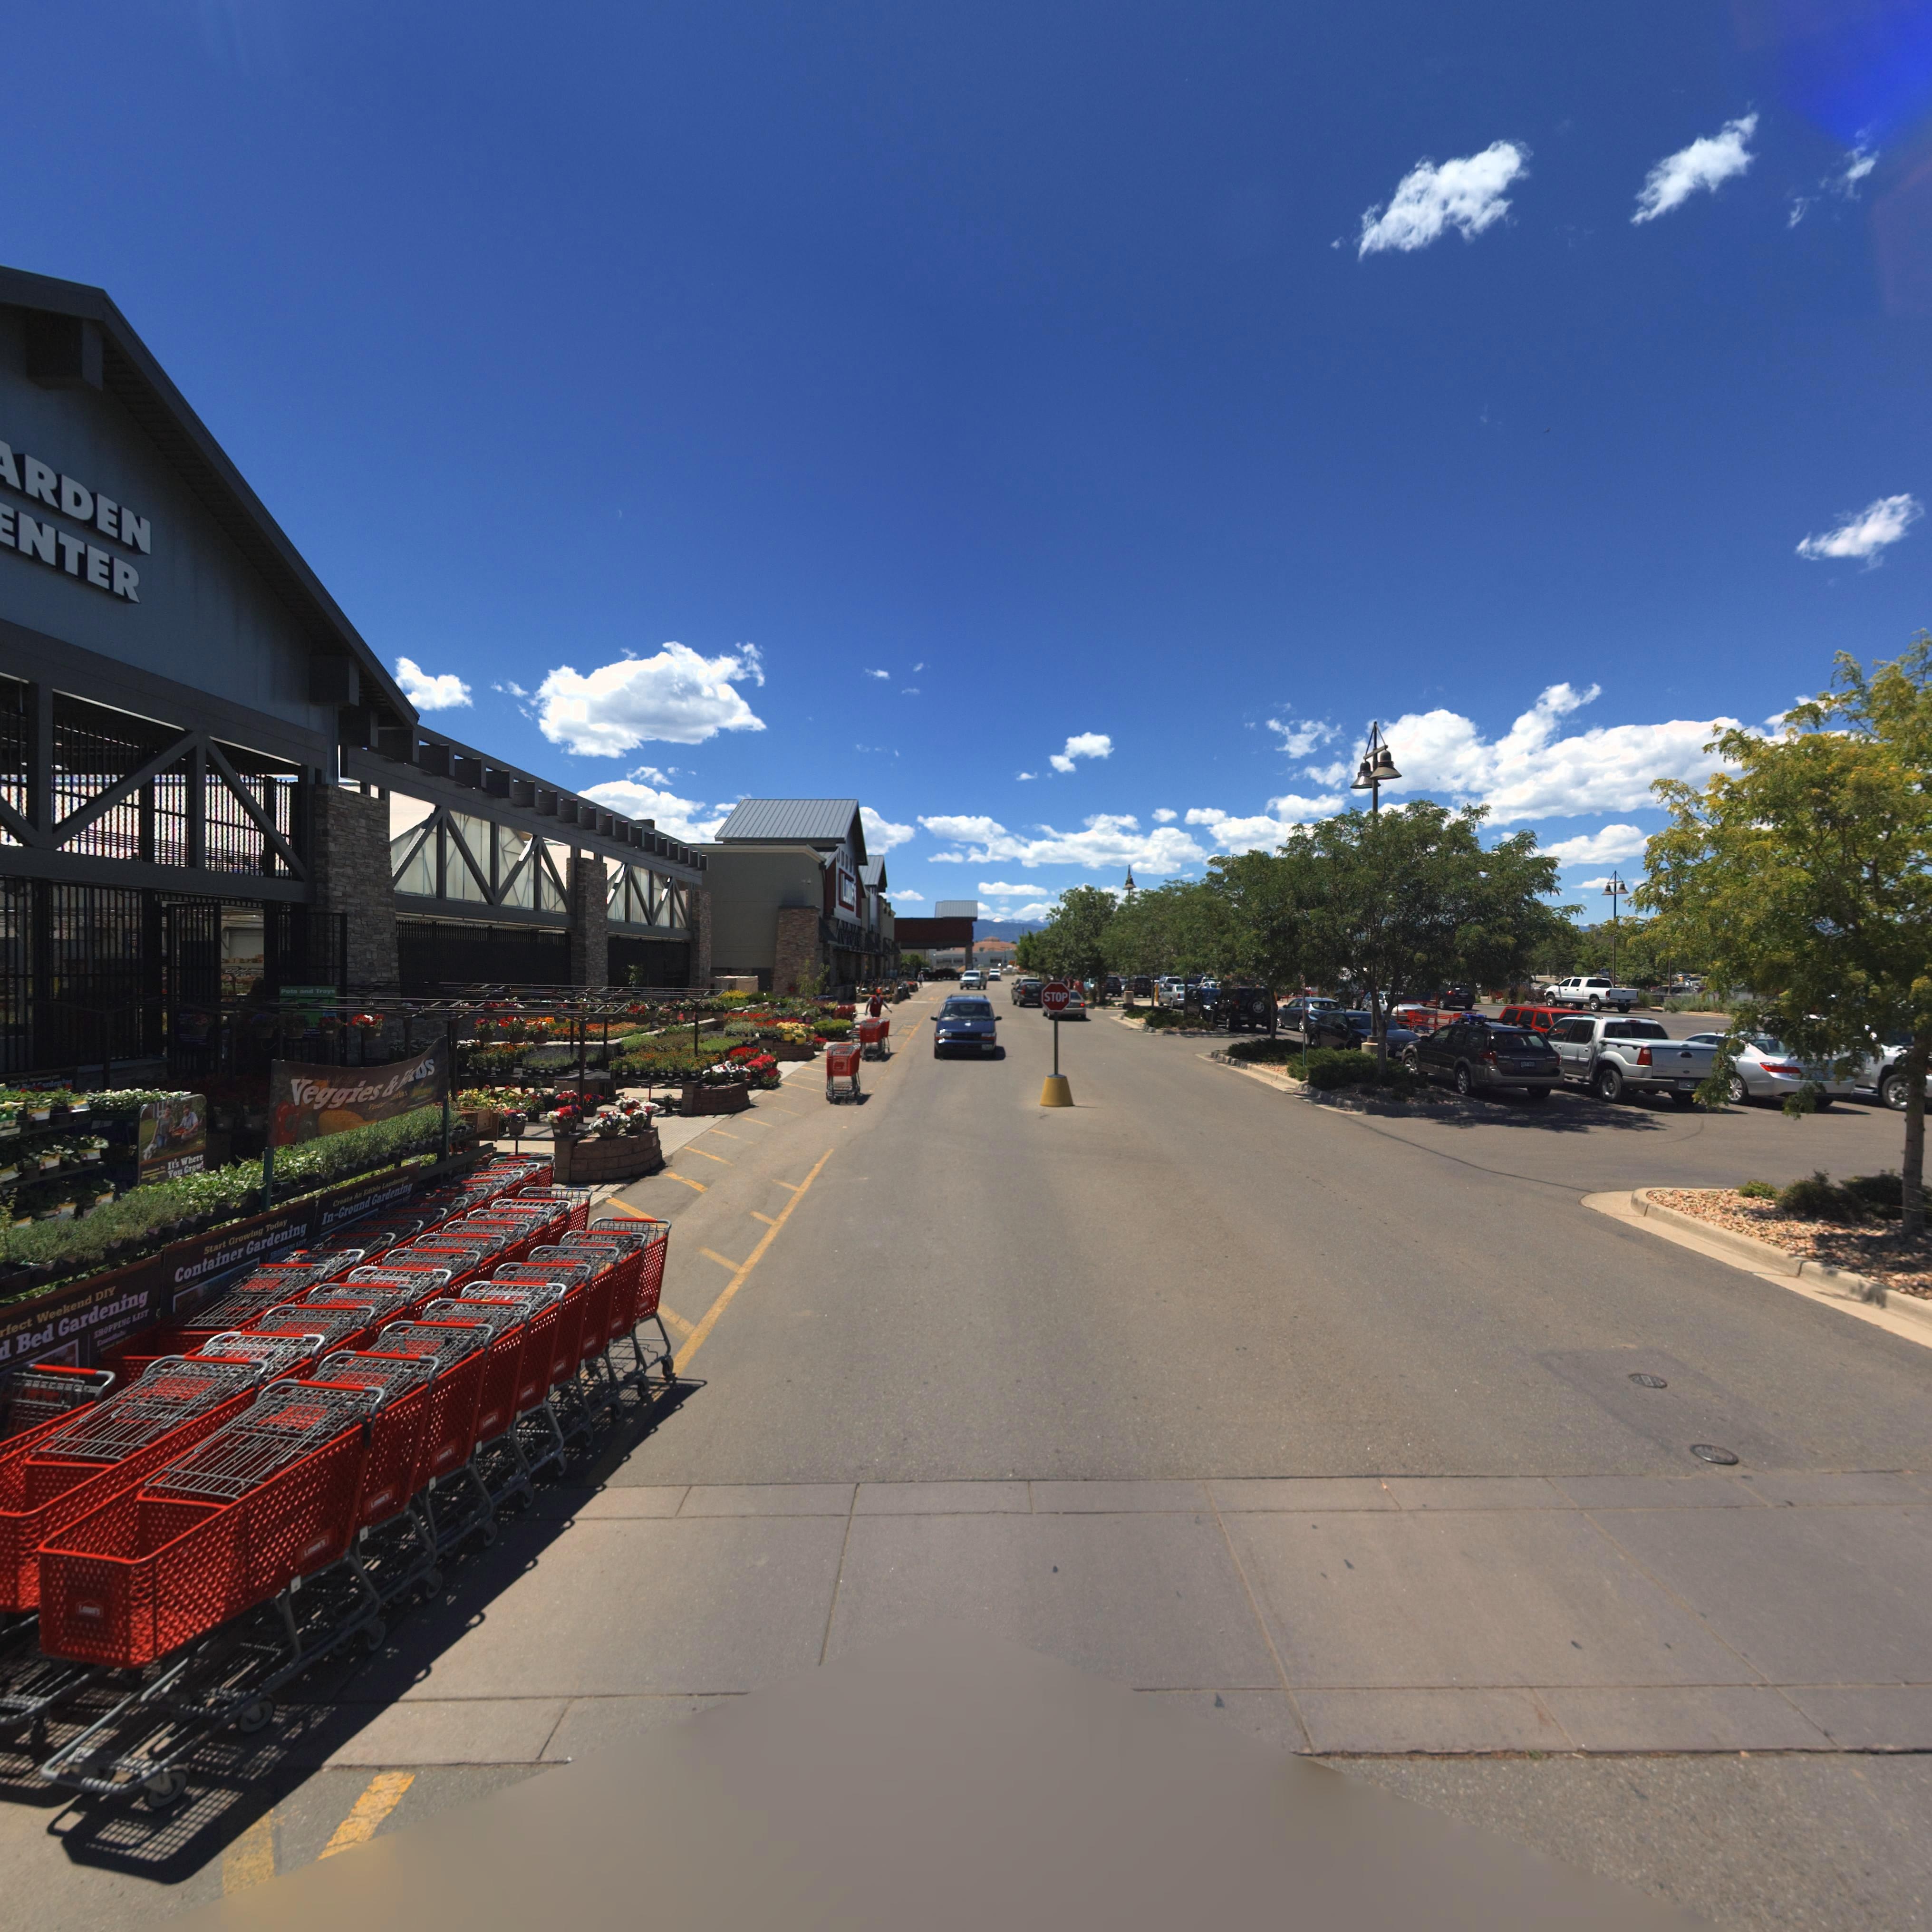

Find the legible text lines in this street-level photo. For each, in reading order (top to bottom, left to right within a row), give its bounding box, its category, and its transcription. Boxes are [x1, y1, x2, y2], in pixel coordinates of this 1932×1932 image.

[840, 872, 857, 907] BusinessName: LO**ES